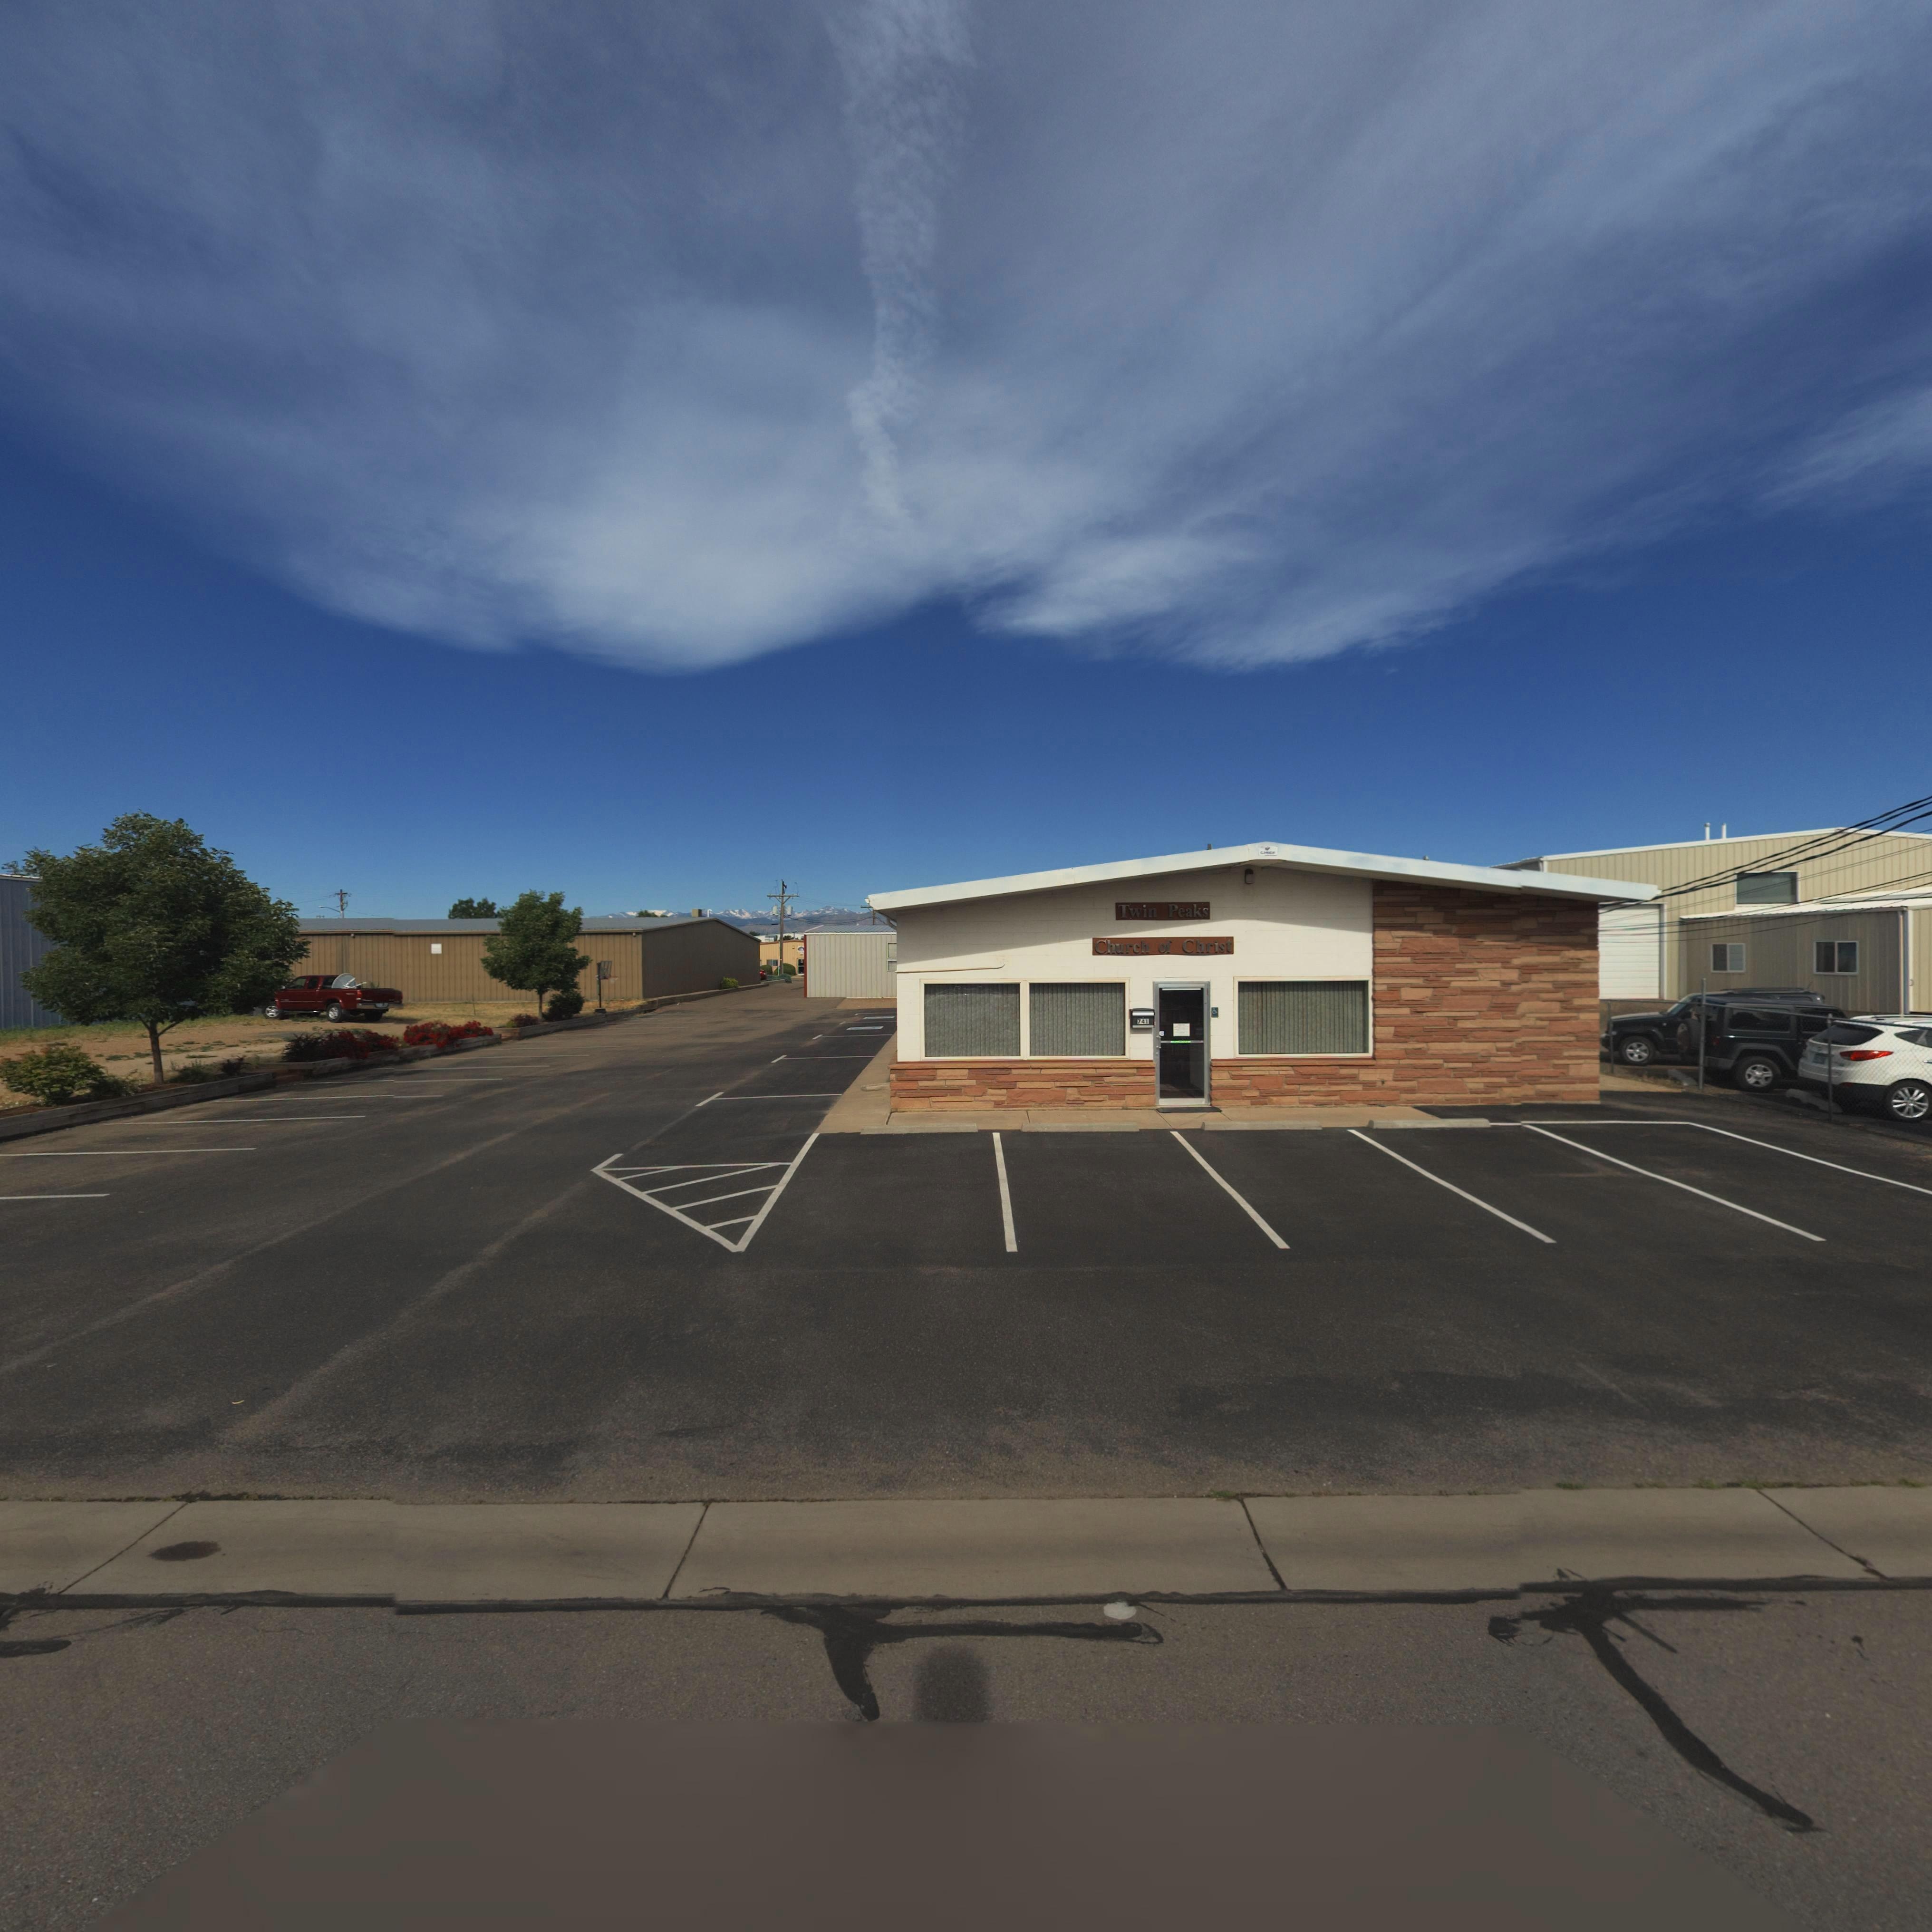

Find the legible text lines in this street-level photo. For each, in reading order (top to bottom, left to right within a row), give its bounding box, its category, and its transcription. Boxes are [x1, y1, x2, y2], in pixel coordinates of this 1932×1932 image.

[1116, 902, 1210, 918] BusinessName: Twin Peaks
[1093, 938, 1234, 954] BusinessName: Church of Christ
[1137, 1018, 1149, 1024] StreetNumber: 741